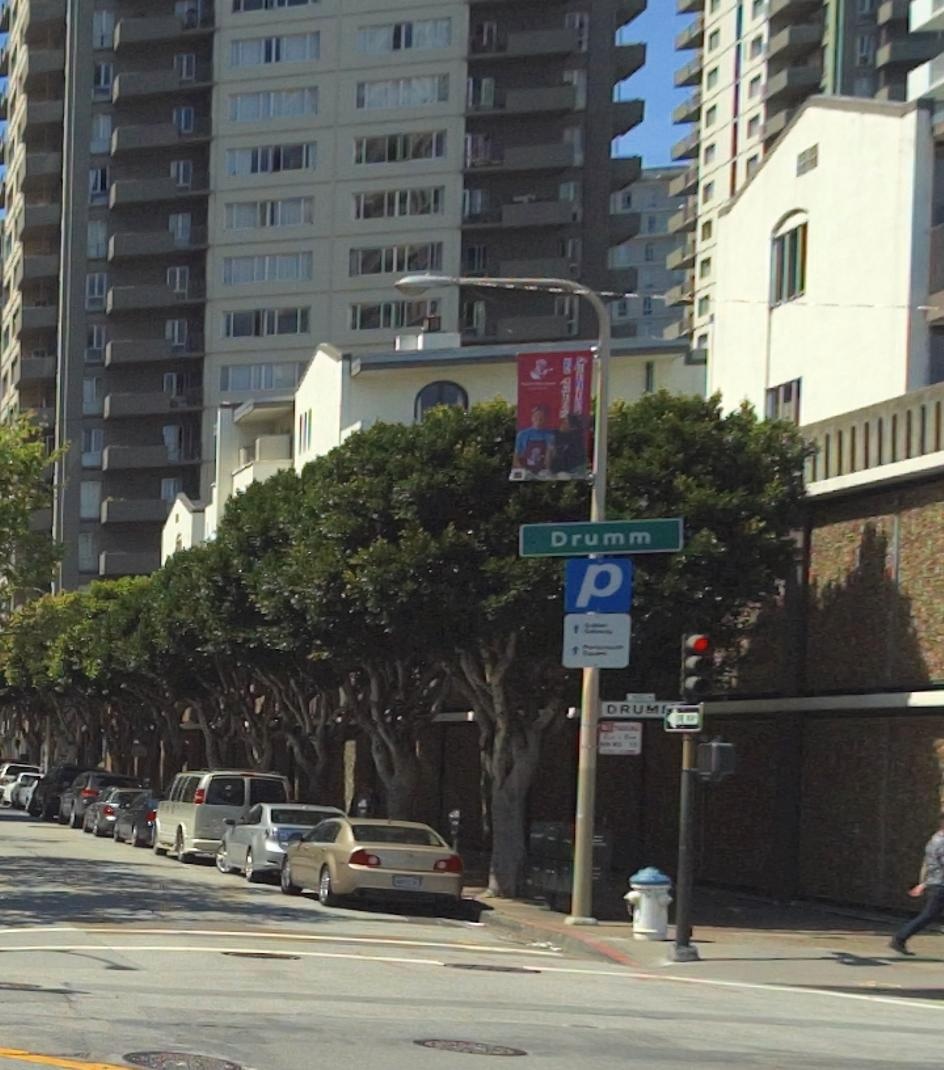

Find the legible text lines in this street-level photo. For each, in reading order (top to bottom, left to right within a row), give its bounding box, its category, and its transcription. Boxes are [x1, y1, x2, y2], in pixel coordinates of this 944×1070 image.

[549, 529, 653, 549] StreetName: Drumm
[569, 560, 627, 610] None: p
[606, 703, 660, 716] StreetName: DRUM